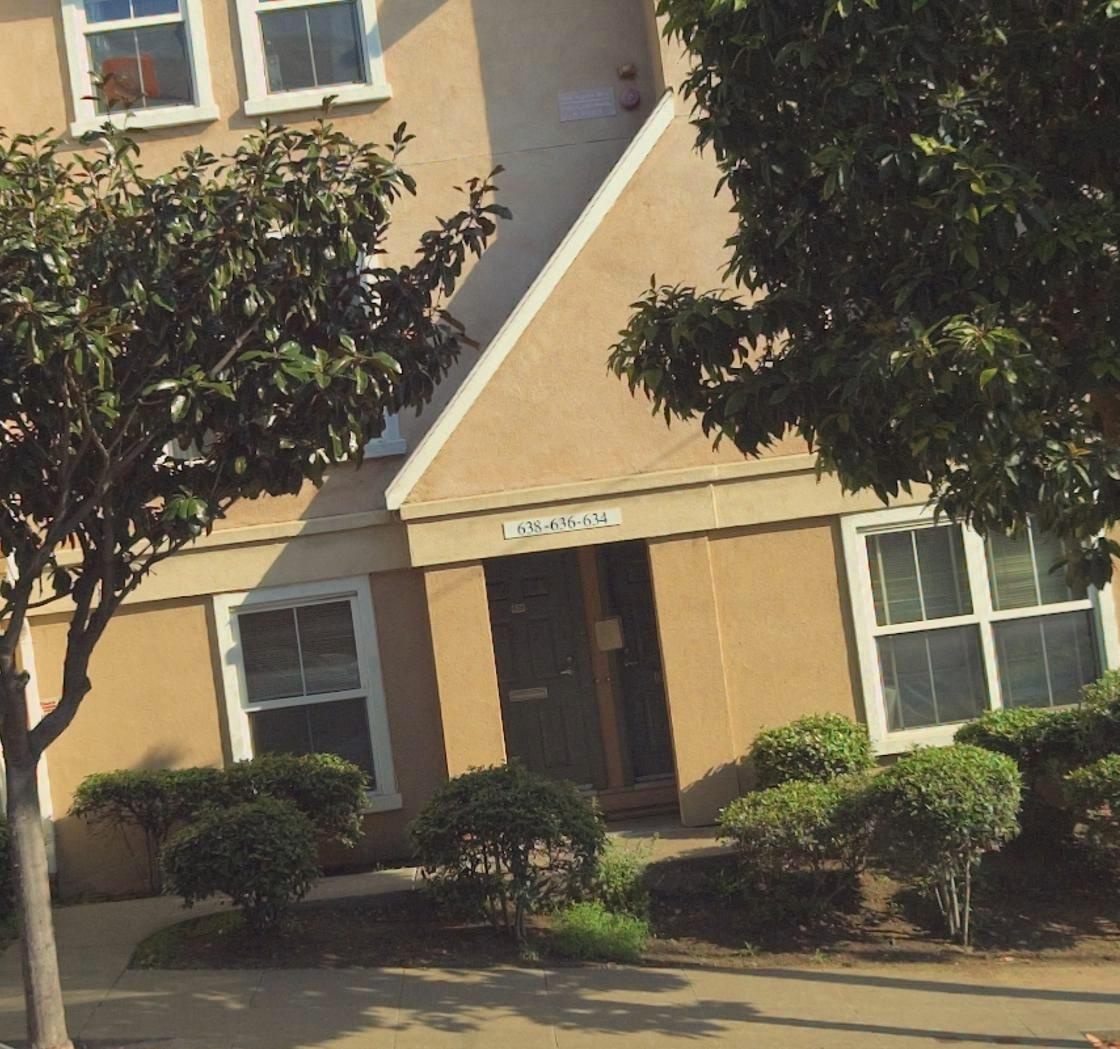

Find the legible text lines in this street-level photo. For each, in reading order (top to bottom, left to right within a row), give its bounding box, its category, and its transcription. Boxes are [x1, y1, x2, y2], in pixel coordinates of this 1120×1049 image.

[515, 509, 609, 537] StreetNumber: 638-636-634